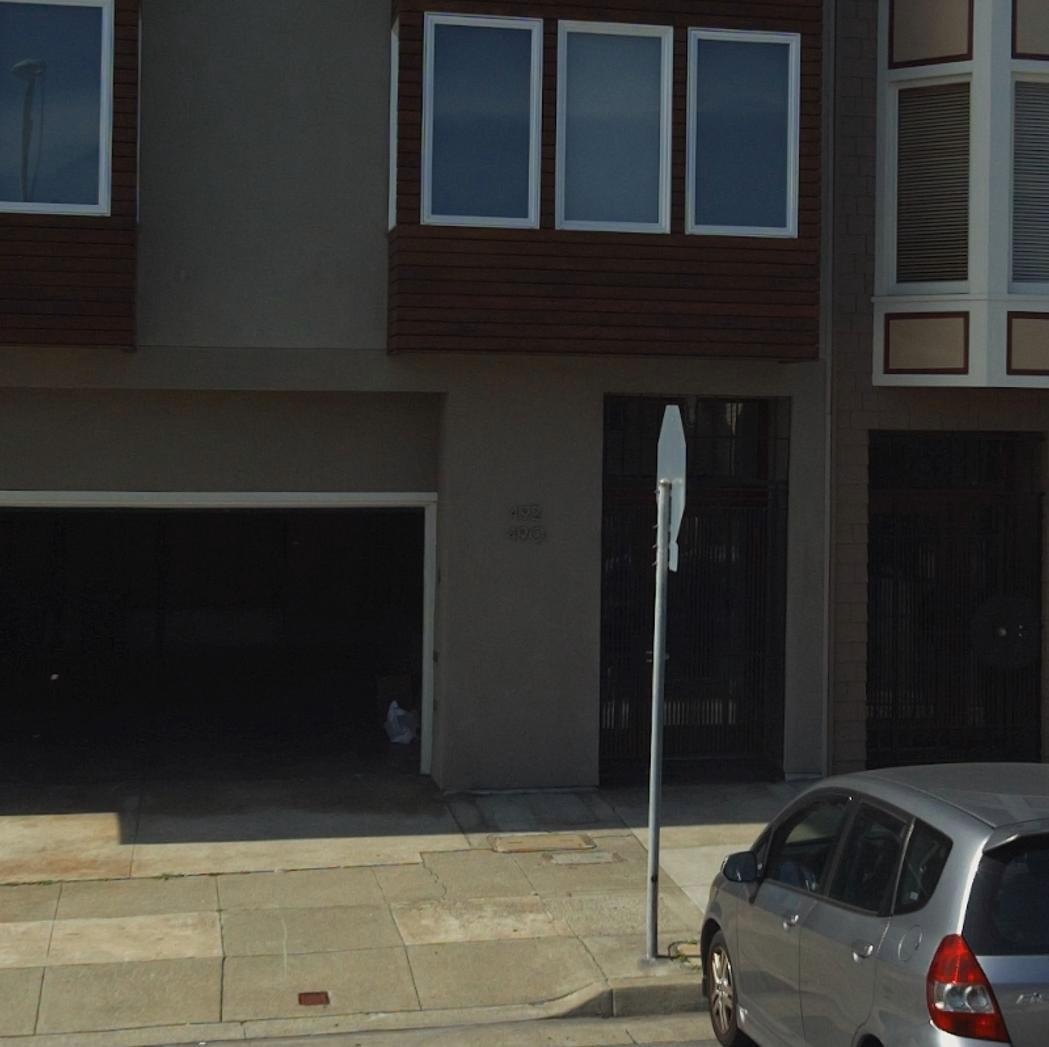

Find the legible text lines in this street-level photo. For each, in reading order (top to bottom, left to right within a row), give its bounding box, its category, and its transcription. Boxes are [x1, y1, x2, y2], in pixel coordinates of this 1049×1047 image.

[507, 503, 542, 522] StreetNumber: 492
[505, 524, 544, 545] StreetNumber: 490